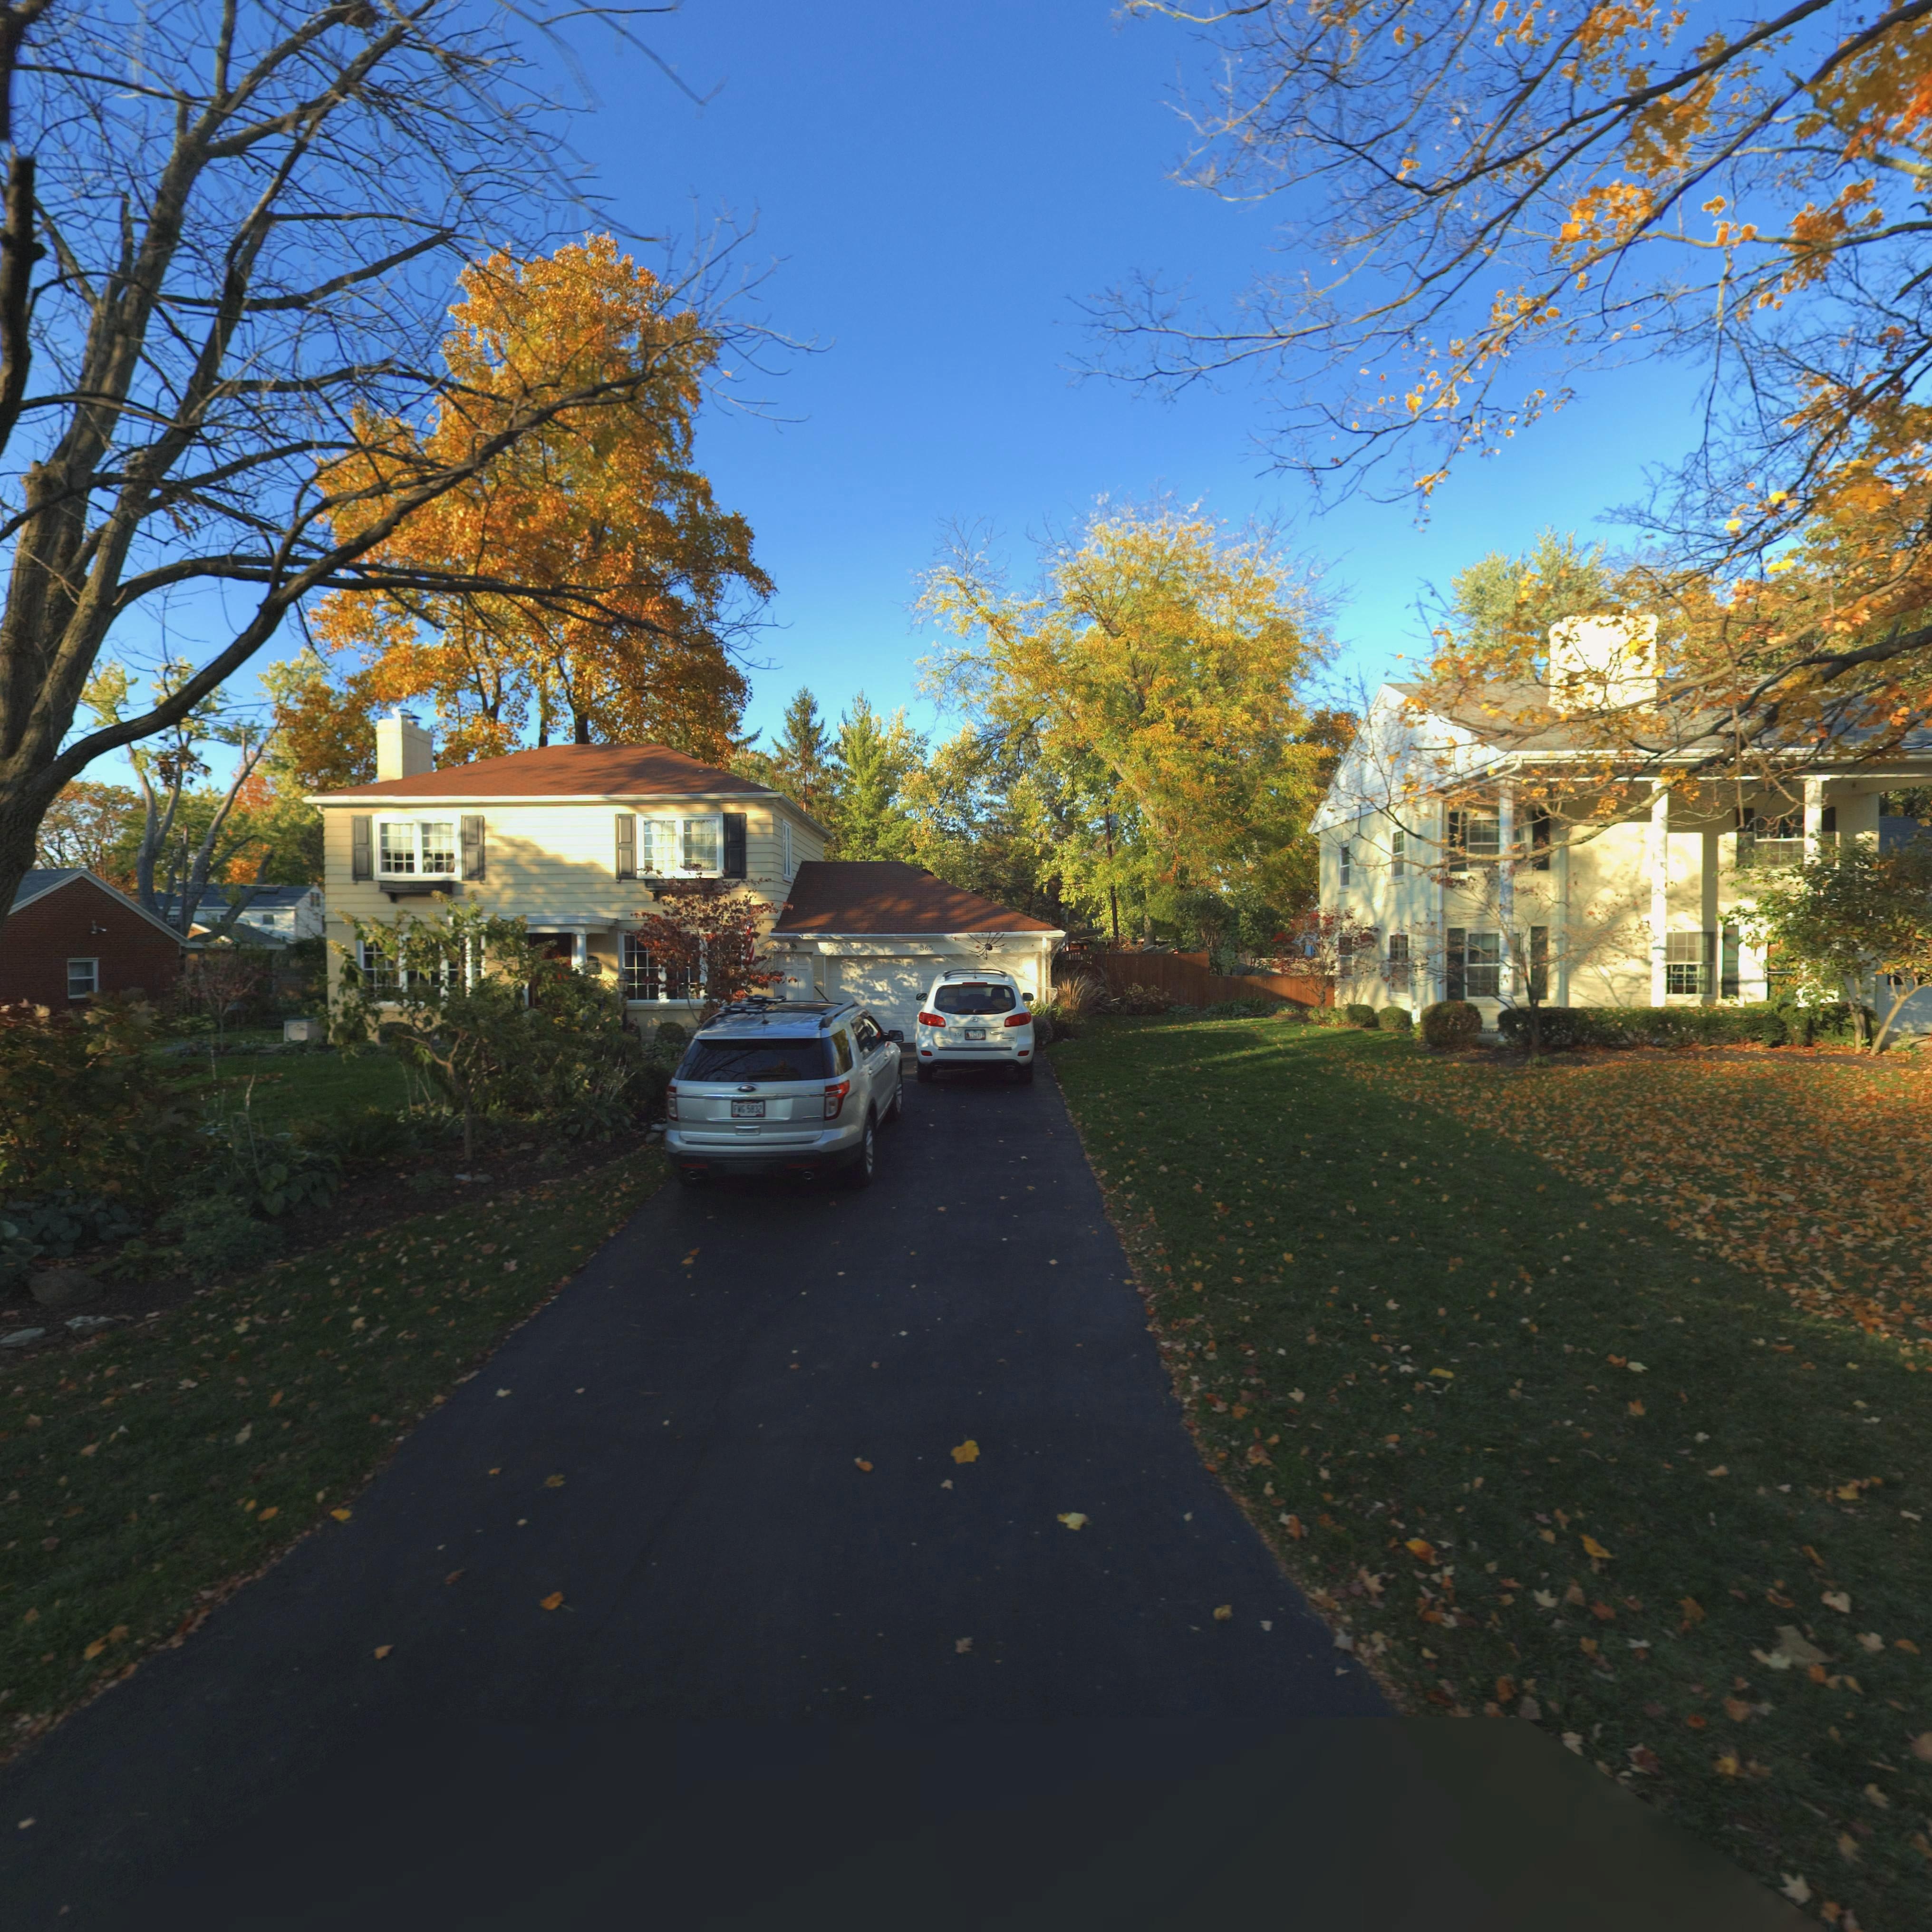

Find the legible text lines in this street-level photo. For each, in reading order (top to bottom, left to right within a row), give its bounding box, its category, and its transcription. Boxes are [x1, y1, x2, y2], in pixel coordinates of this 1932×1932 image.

[919, 944, 934, 952] StreetNumber: 365